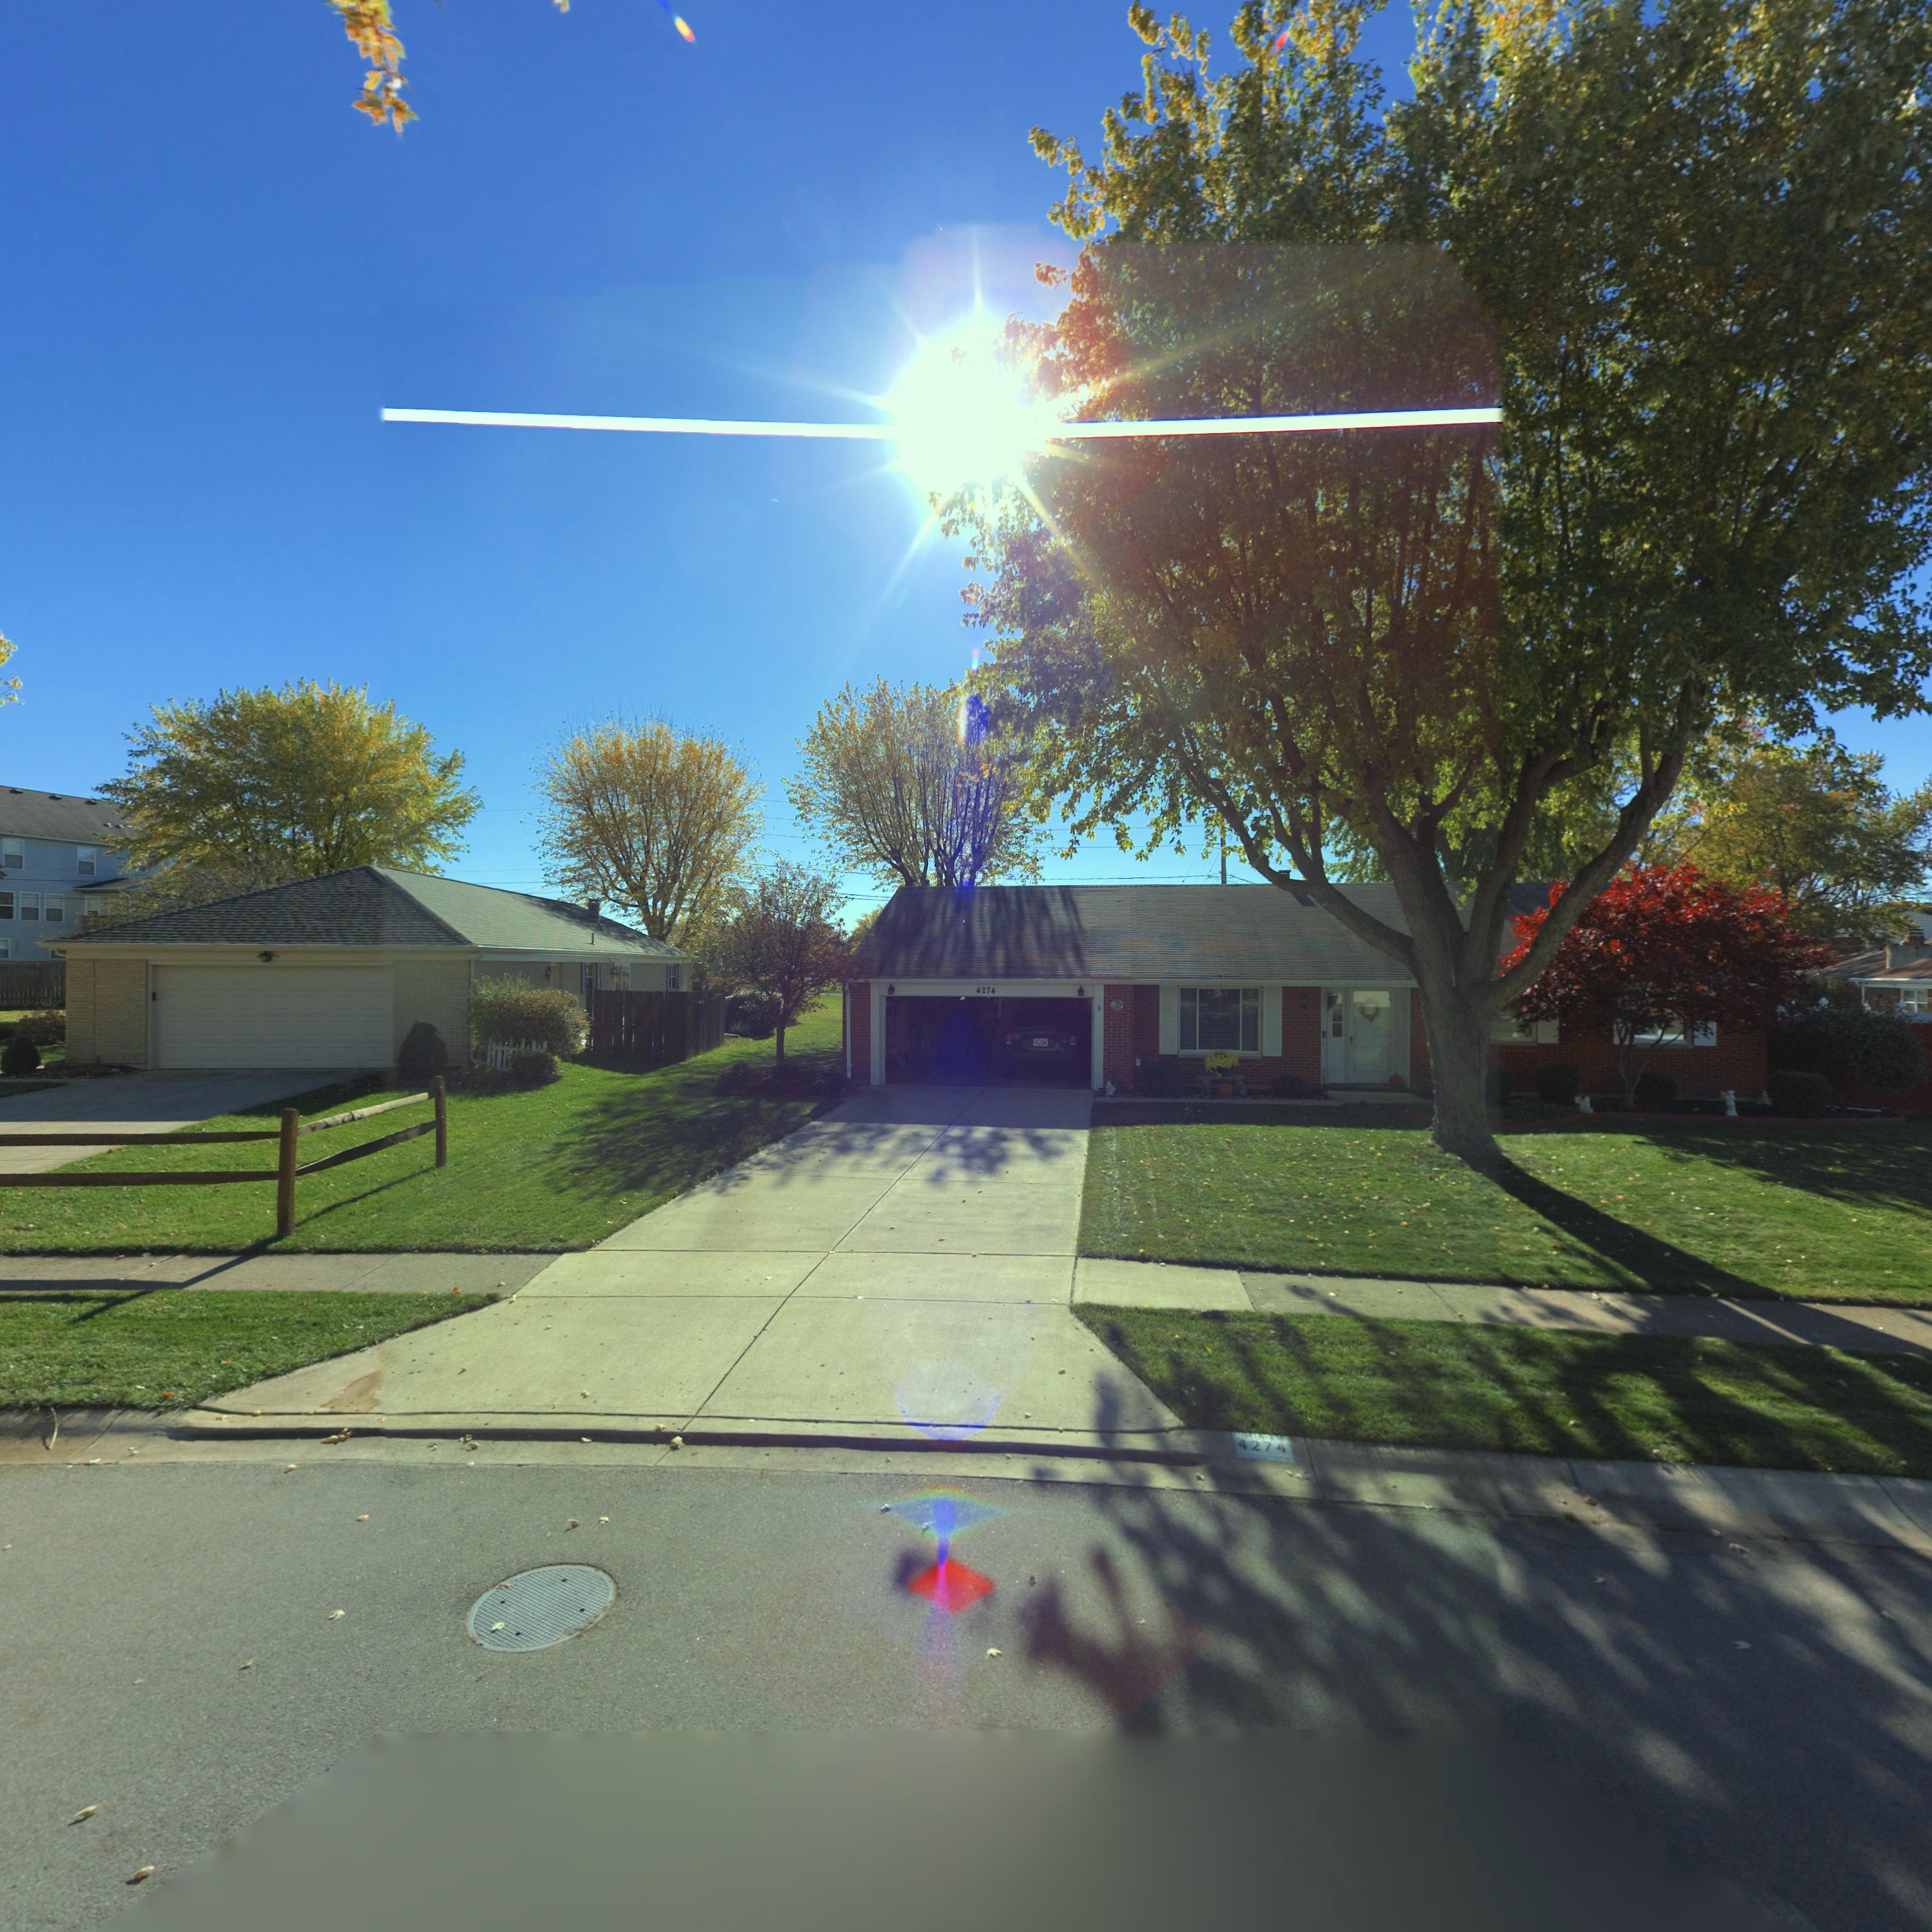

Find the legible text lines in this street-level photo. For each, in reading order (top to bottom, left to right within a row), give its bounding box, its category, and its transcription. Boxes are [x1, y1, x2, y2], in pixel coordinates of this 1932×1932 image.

[975, 985, 997, 995] StreetNumber: 4274
[1236, 1438, 1287, 1455] StreetNumber: 4274